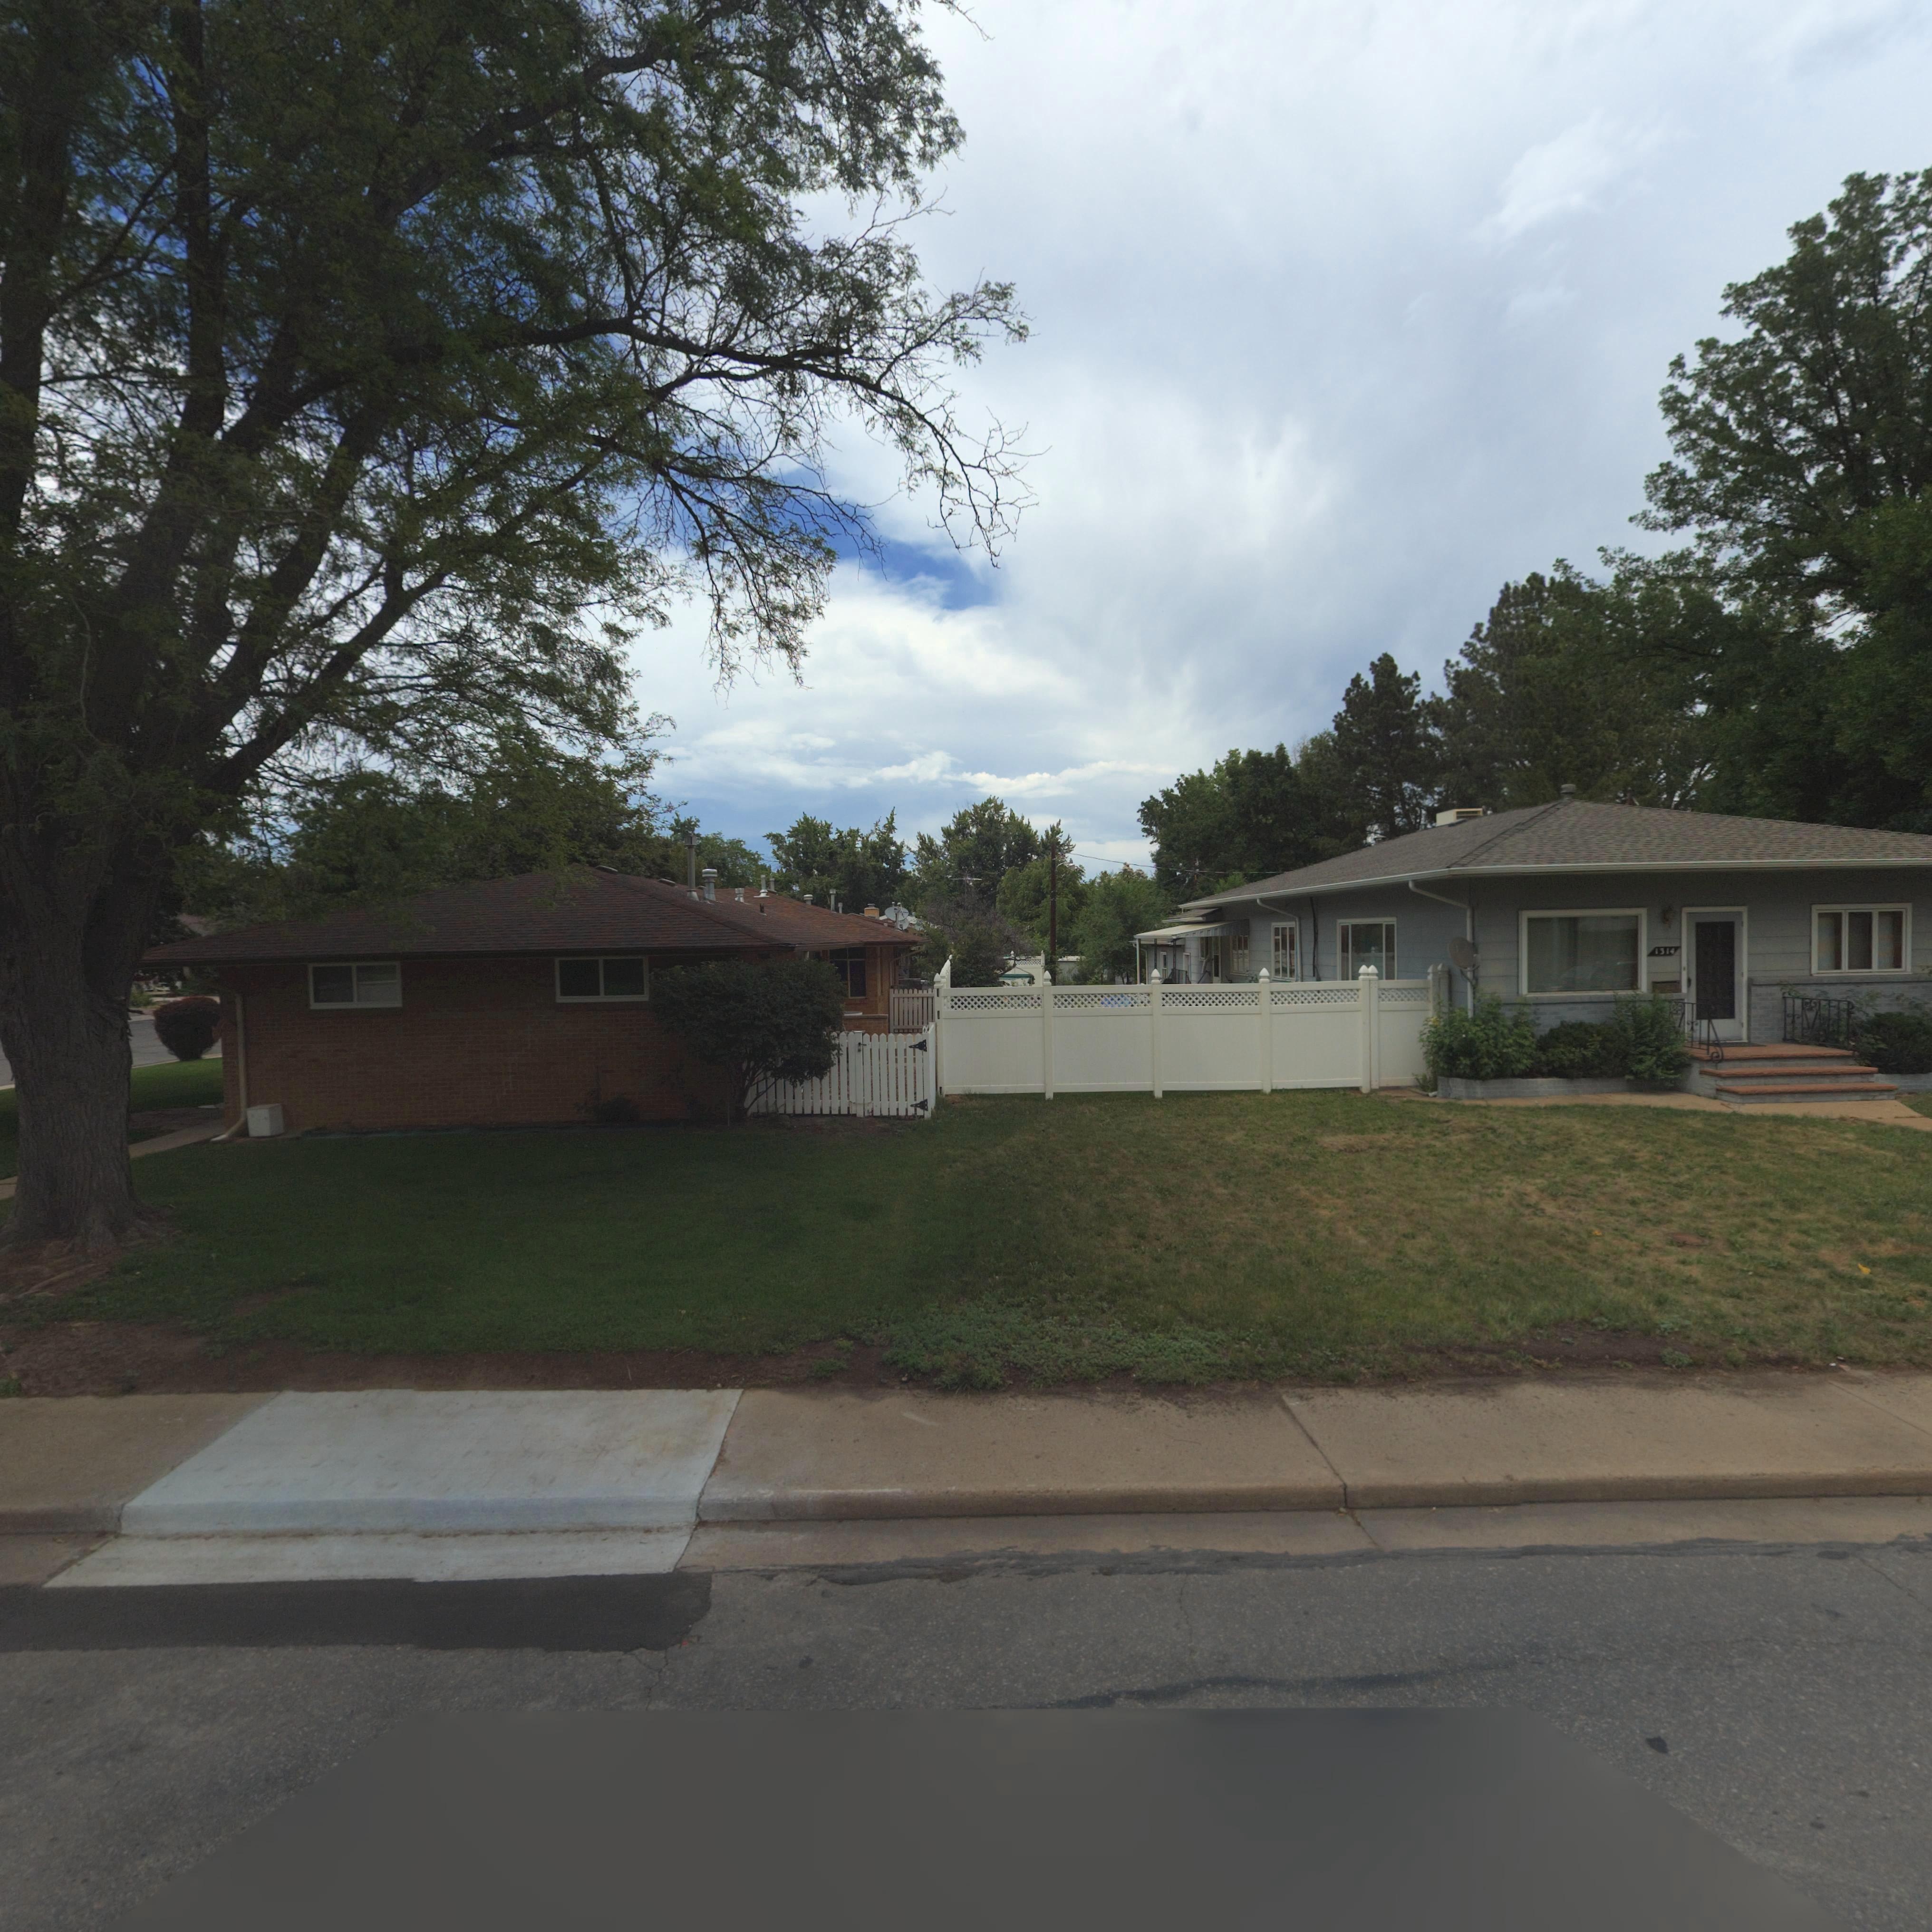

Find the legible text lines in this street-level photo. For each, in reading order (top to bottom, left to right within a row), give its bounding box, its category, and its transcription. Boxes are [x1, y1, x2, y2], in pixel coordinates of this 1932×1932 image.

[1654, 947, 1675, 955] StreetNumber: 1314